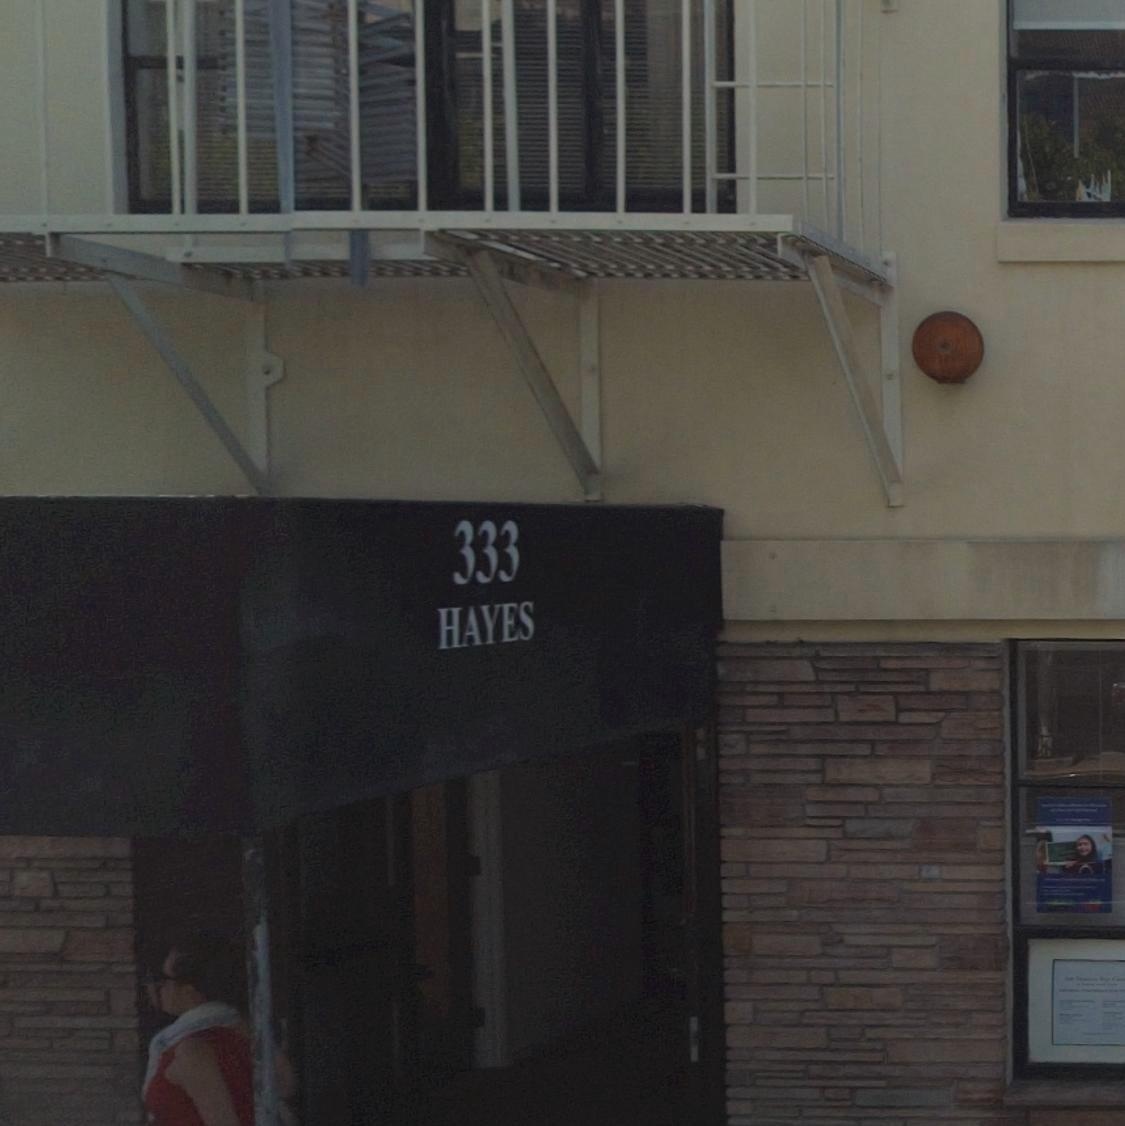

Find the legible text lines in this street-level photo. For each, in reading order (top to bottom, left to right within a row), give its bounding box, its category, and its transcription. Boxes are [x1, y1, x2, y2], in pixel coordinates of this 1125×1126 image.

[450, 516, 523, 586] StreetNumber: 333
[434, 600, 537, 651] StreetName: HAYES